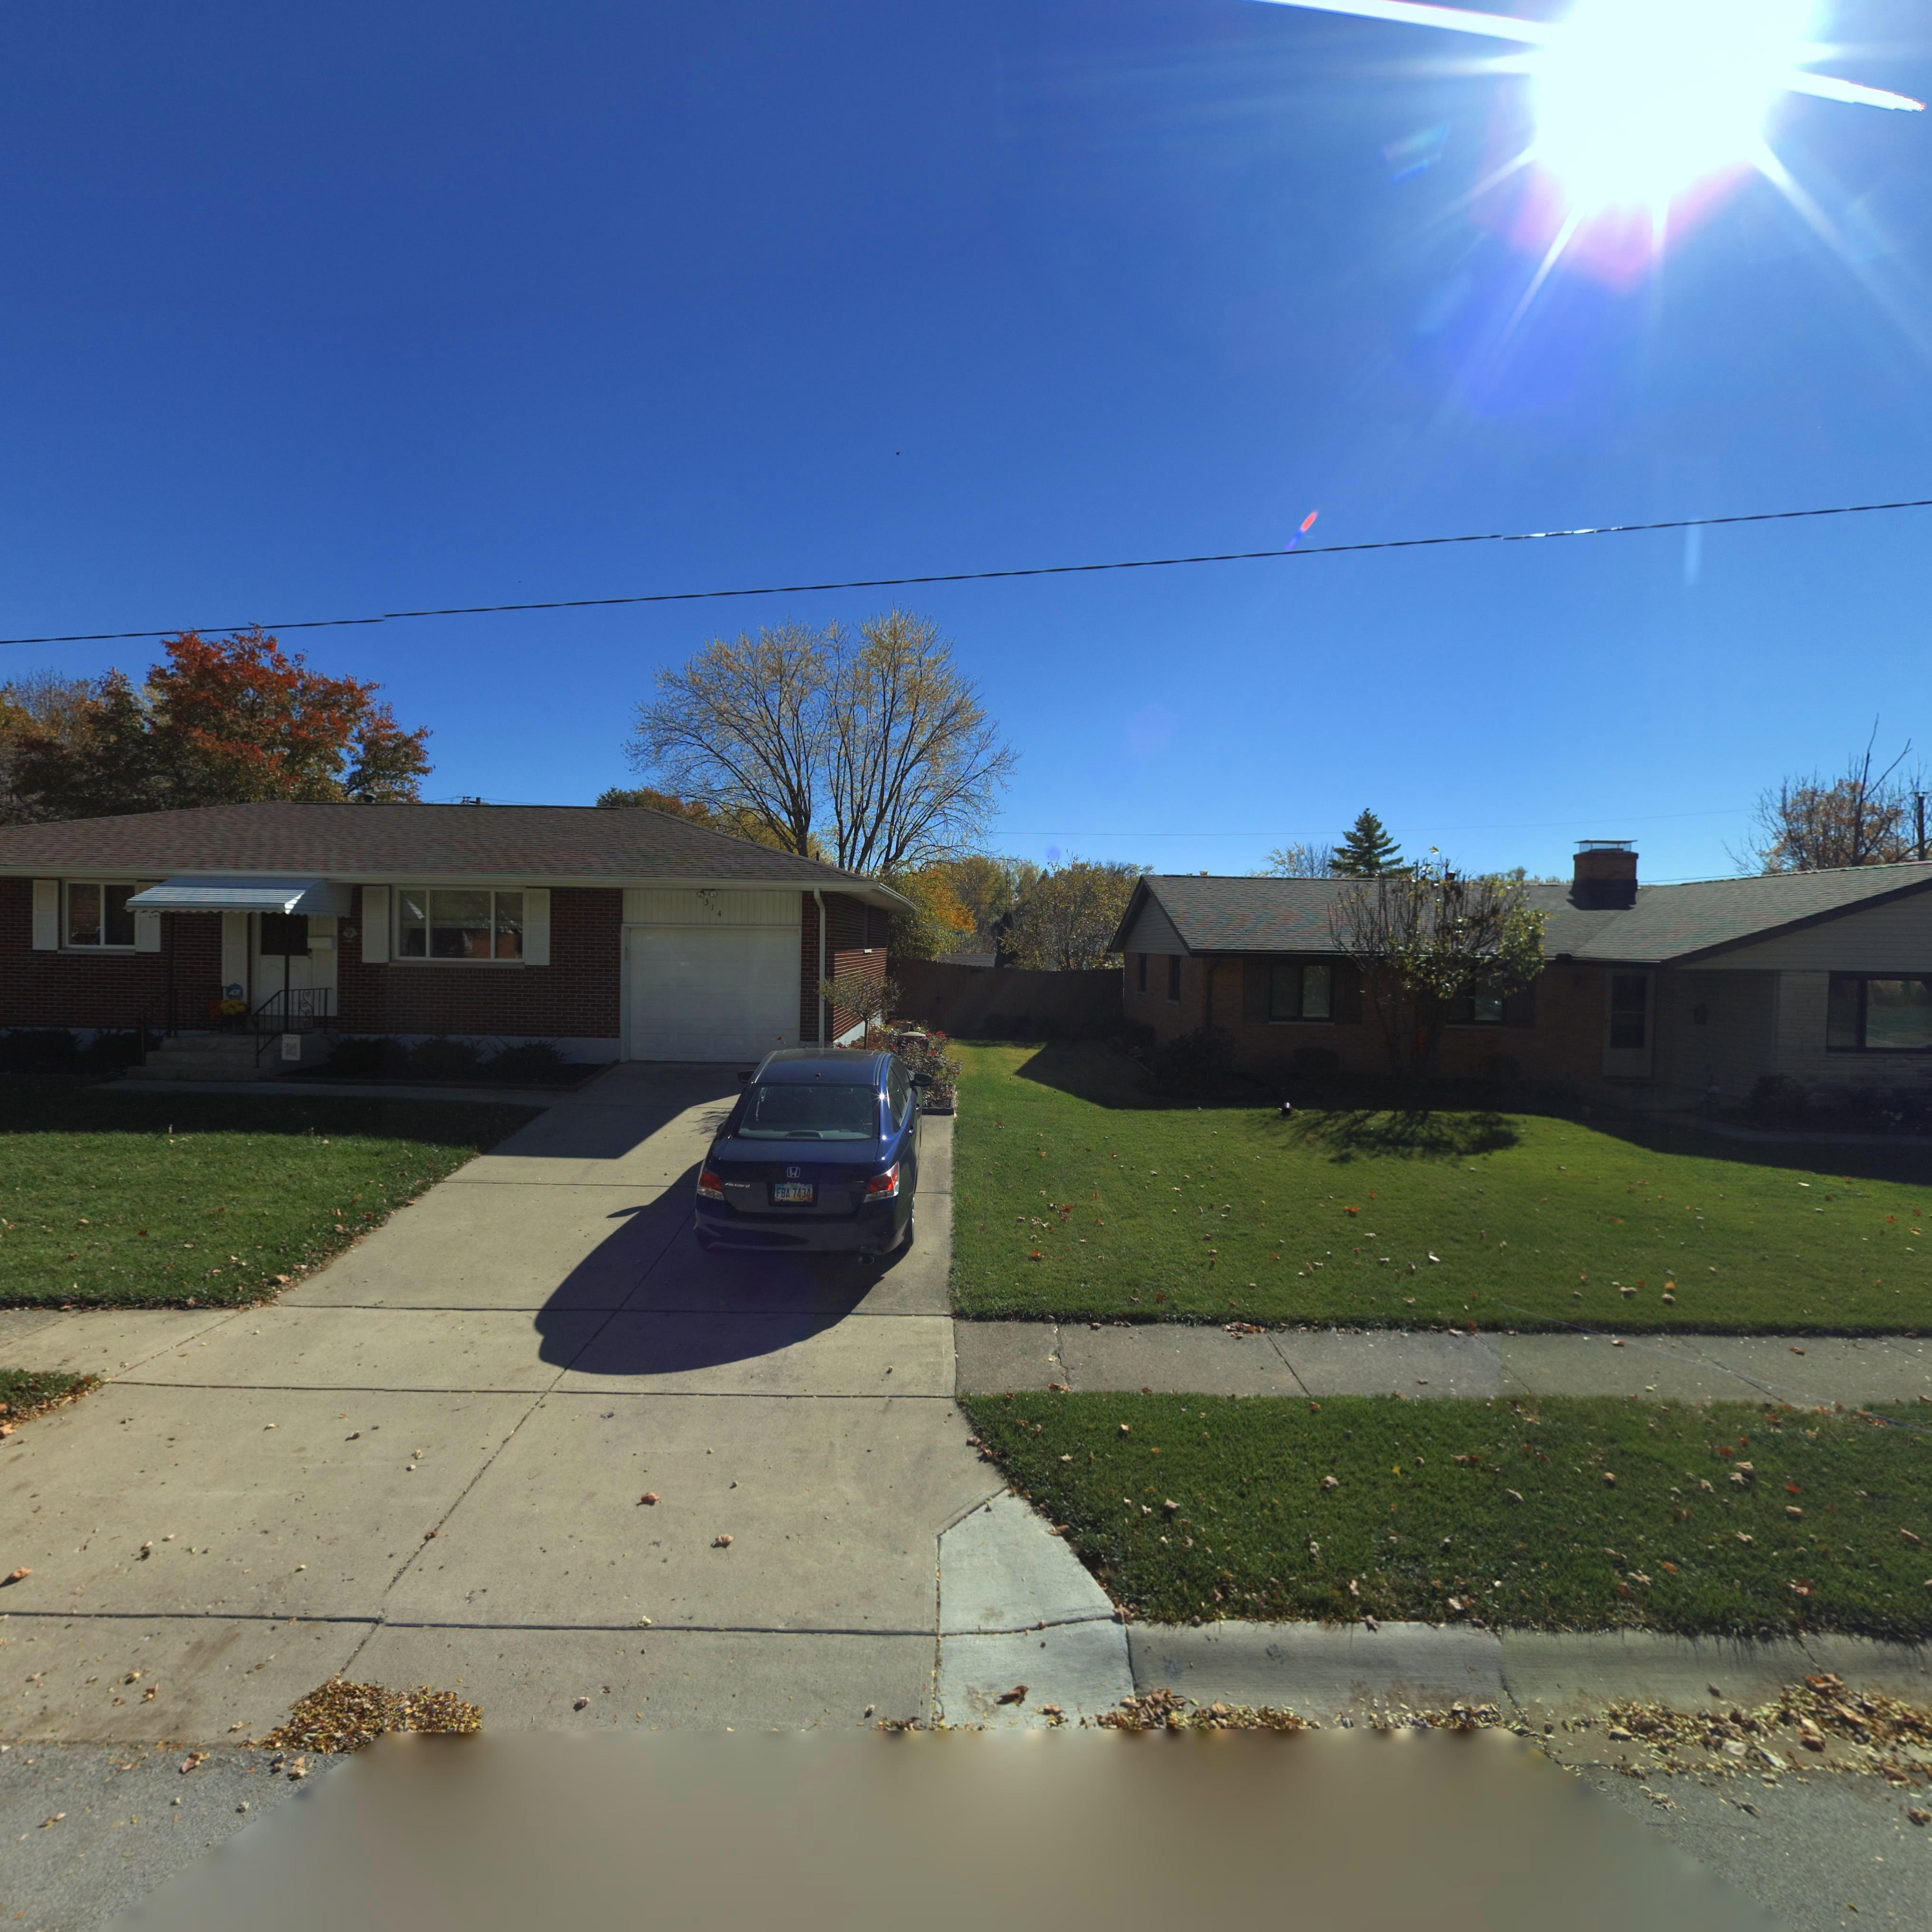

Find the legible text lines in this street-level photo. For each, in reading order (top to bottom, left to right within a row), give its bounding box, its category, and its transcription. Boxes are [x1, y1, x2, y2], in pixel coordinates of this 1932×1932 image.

[703, 897, 723, 918] StreetNumber: 314
[226, 989, 241, 996] None: ADT
[723, 1180, 751, 1188] None: Accord
[776, 1187, 811, 1199] None: FBA*7434